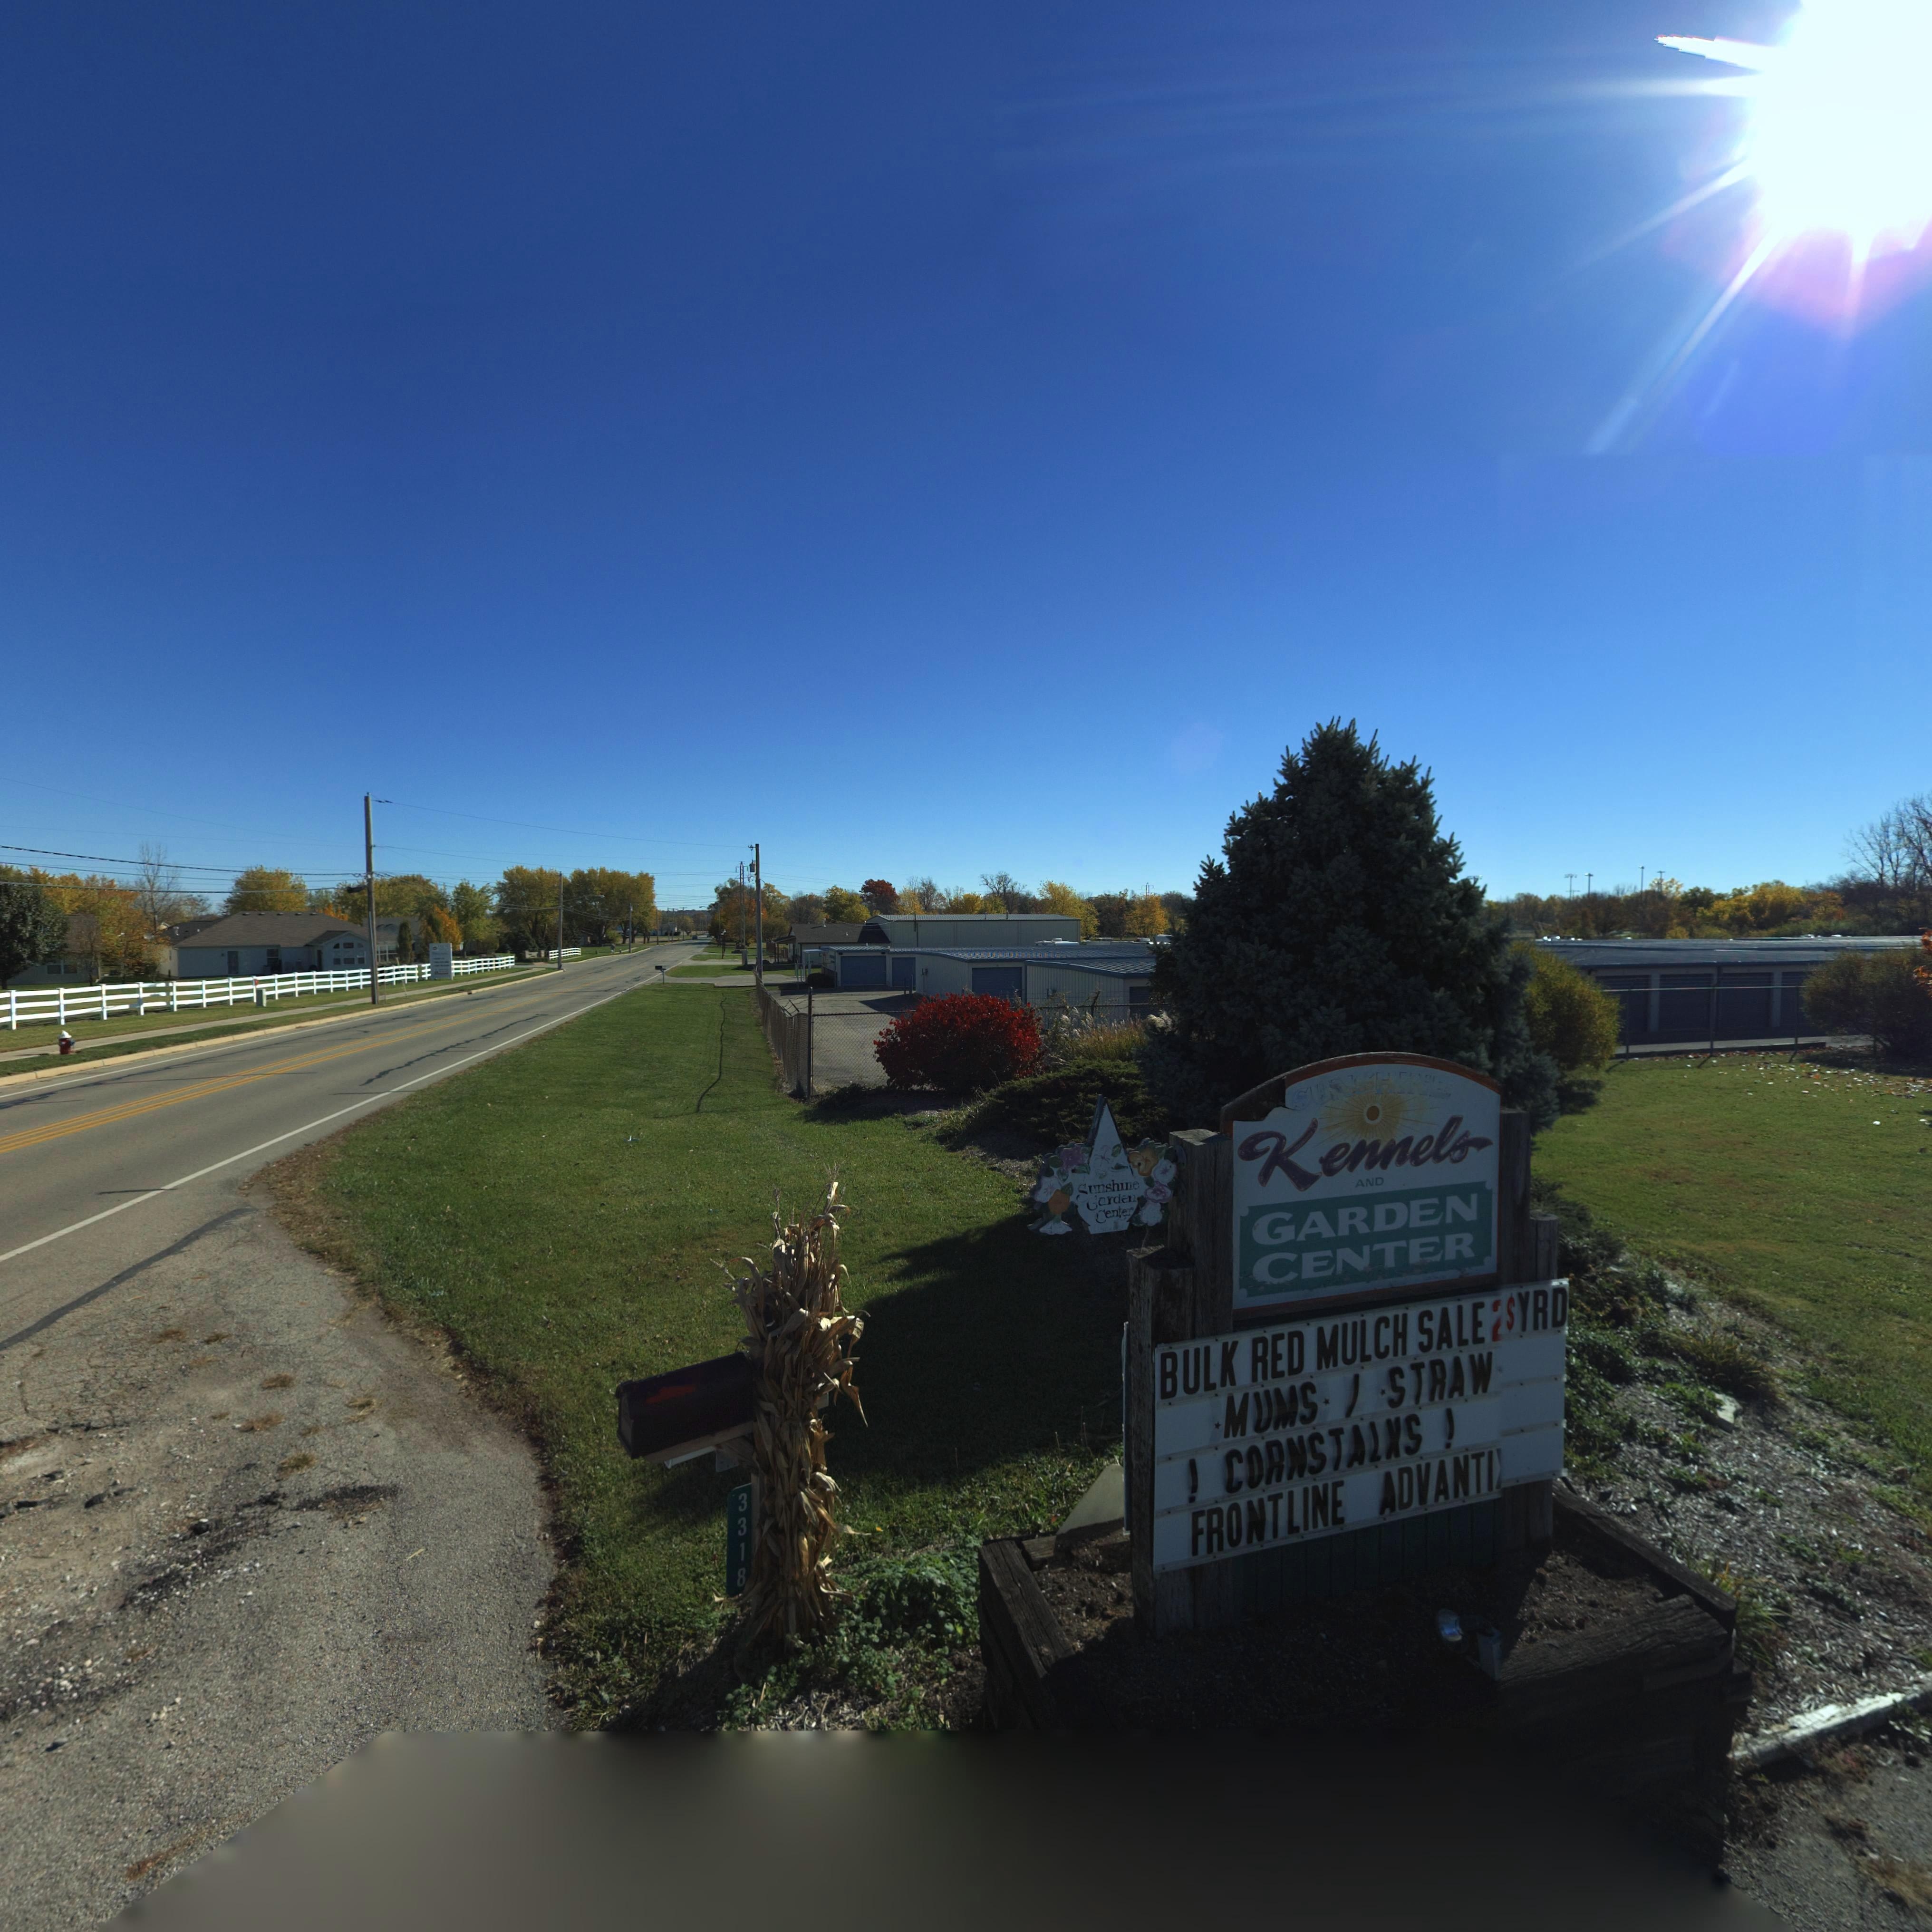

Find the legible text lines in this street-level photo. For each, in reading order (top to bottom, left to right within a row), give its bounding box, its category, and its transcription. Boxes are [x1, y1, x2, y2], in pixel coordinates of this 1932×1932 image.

[1075, 1179, 1142, 1207] None: Sunshine
[1086, 1191, 1137, 1213] None: *arden
[1094, 1206, 1135, 1226] None: Center
[1232, 1108, 1499, 1198] BusinessName: Kennels
[1250, 1188, 1481, 1253] None: GARDEN
[1251, 1228, 1483, 1290] None: CENTER
[1158, 1283, 1569, 1408] None: BULK RED MULCH SALE 2$YRD
[1221, 1346, 1497, 1447] None: MUMS / STRAW
[1184, 1401, 1463, 1510] None: ! CORNSTALKS !
[734, 1491, 749, 1588] StreetNumber: 3318
[1185, 1445, 1502, 1562] None: FRONTLINE ADVANTI